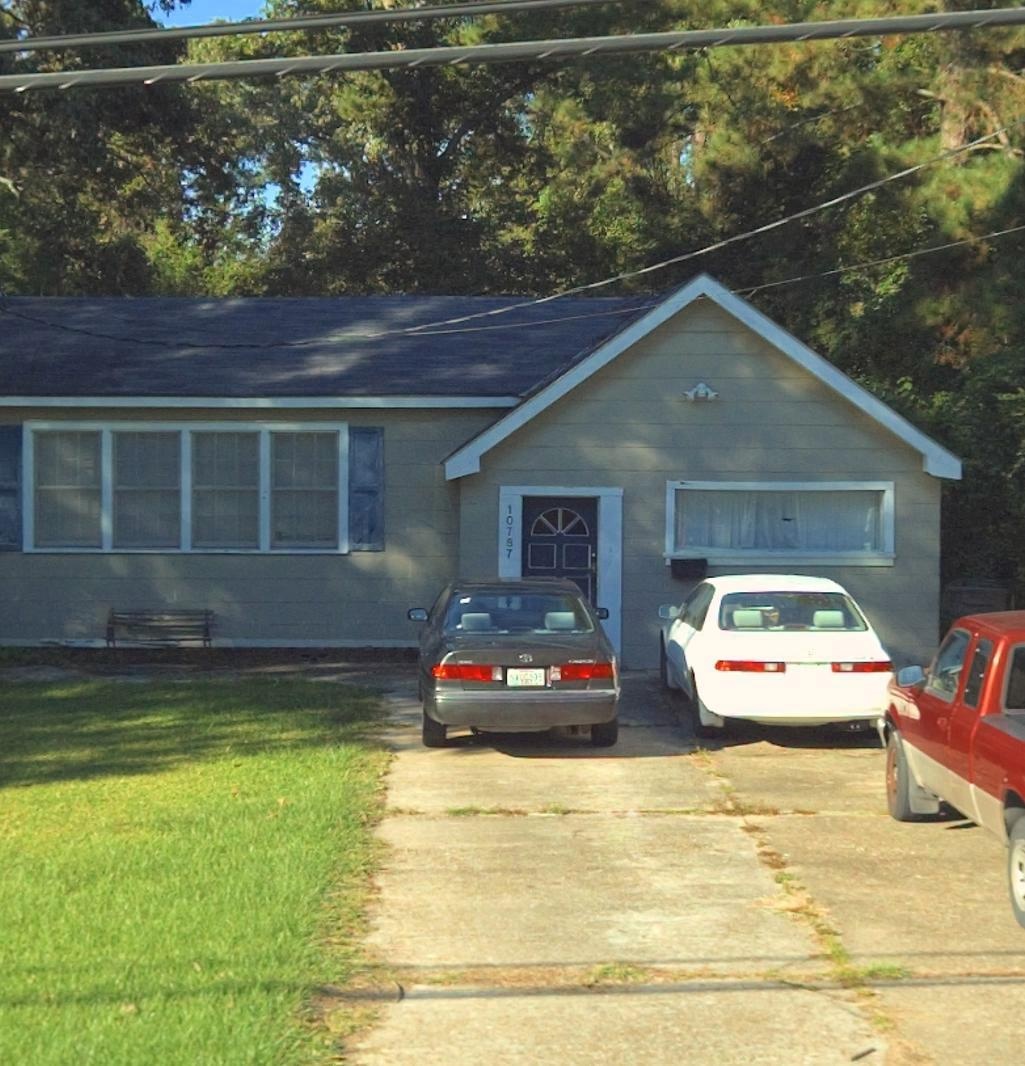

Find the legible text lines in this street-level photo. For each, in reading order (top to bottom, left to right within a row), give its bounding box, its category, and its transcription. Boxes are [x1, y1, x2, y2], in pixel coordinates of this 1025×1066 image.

[505, 503, 514, 559] StreetNumber: 10787